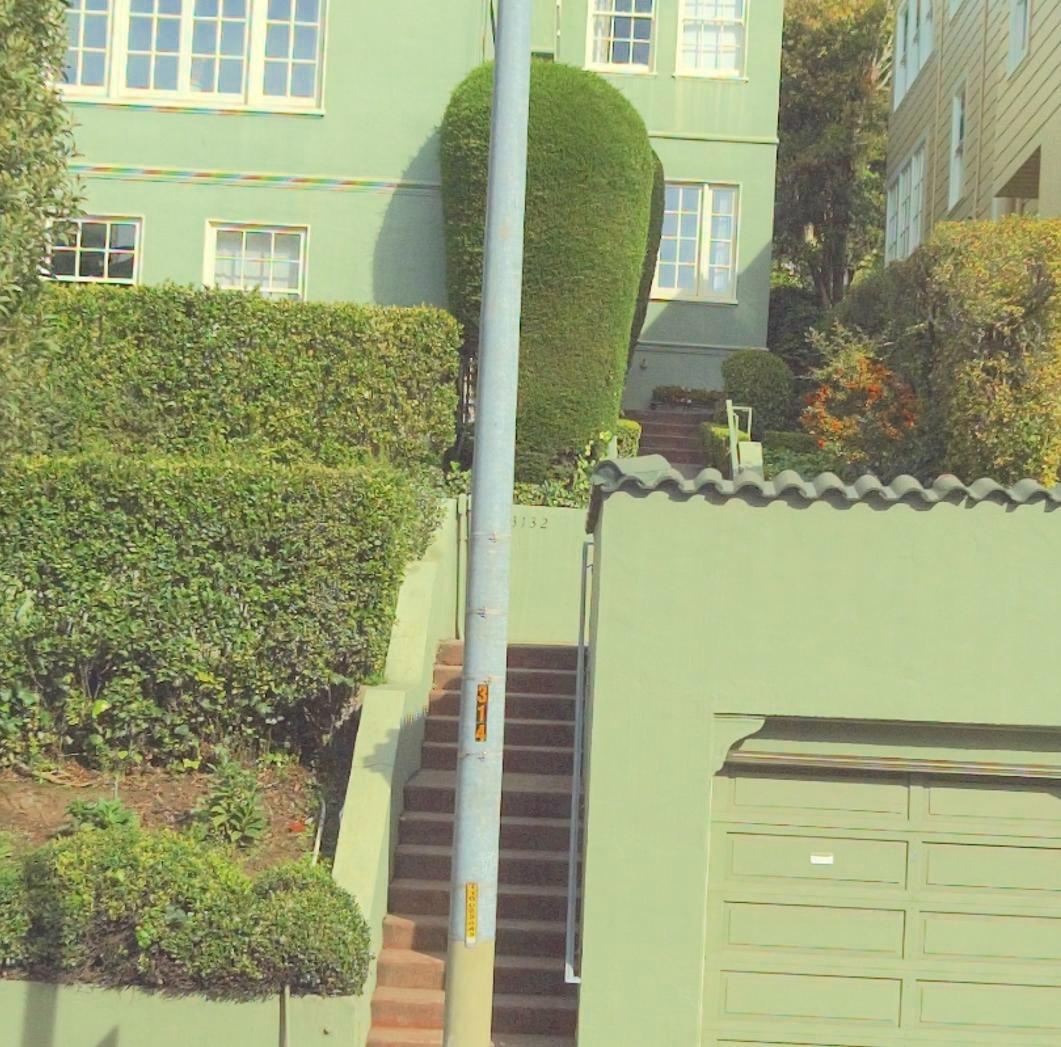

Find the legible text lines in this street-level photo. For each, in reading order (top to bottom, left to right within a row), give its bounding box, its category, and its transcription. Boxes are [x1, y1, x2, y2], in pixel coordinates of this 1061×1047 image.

[507, 513, 551, 532] StreetNumber: 3132
[474, 683, 489, 743] None: 314